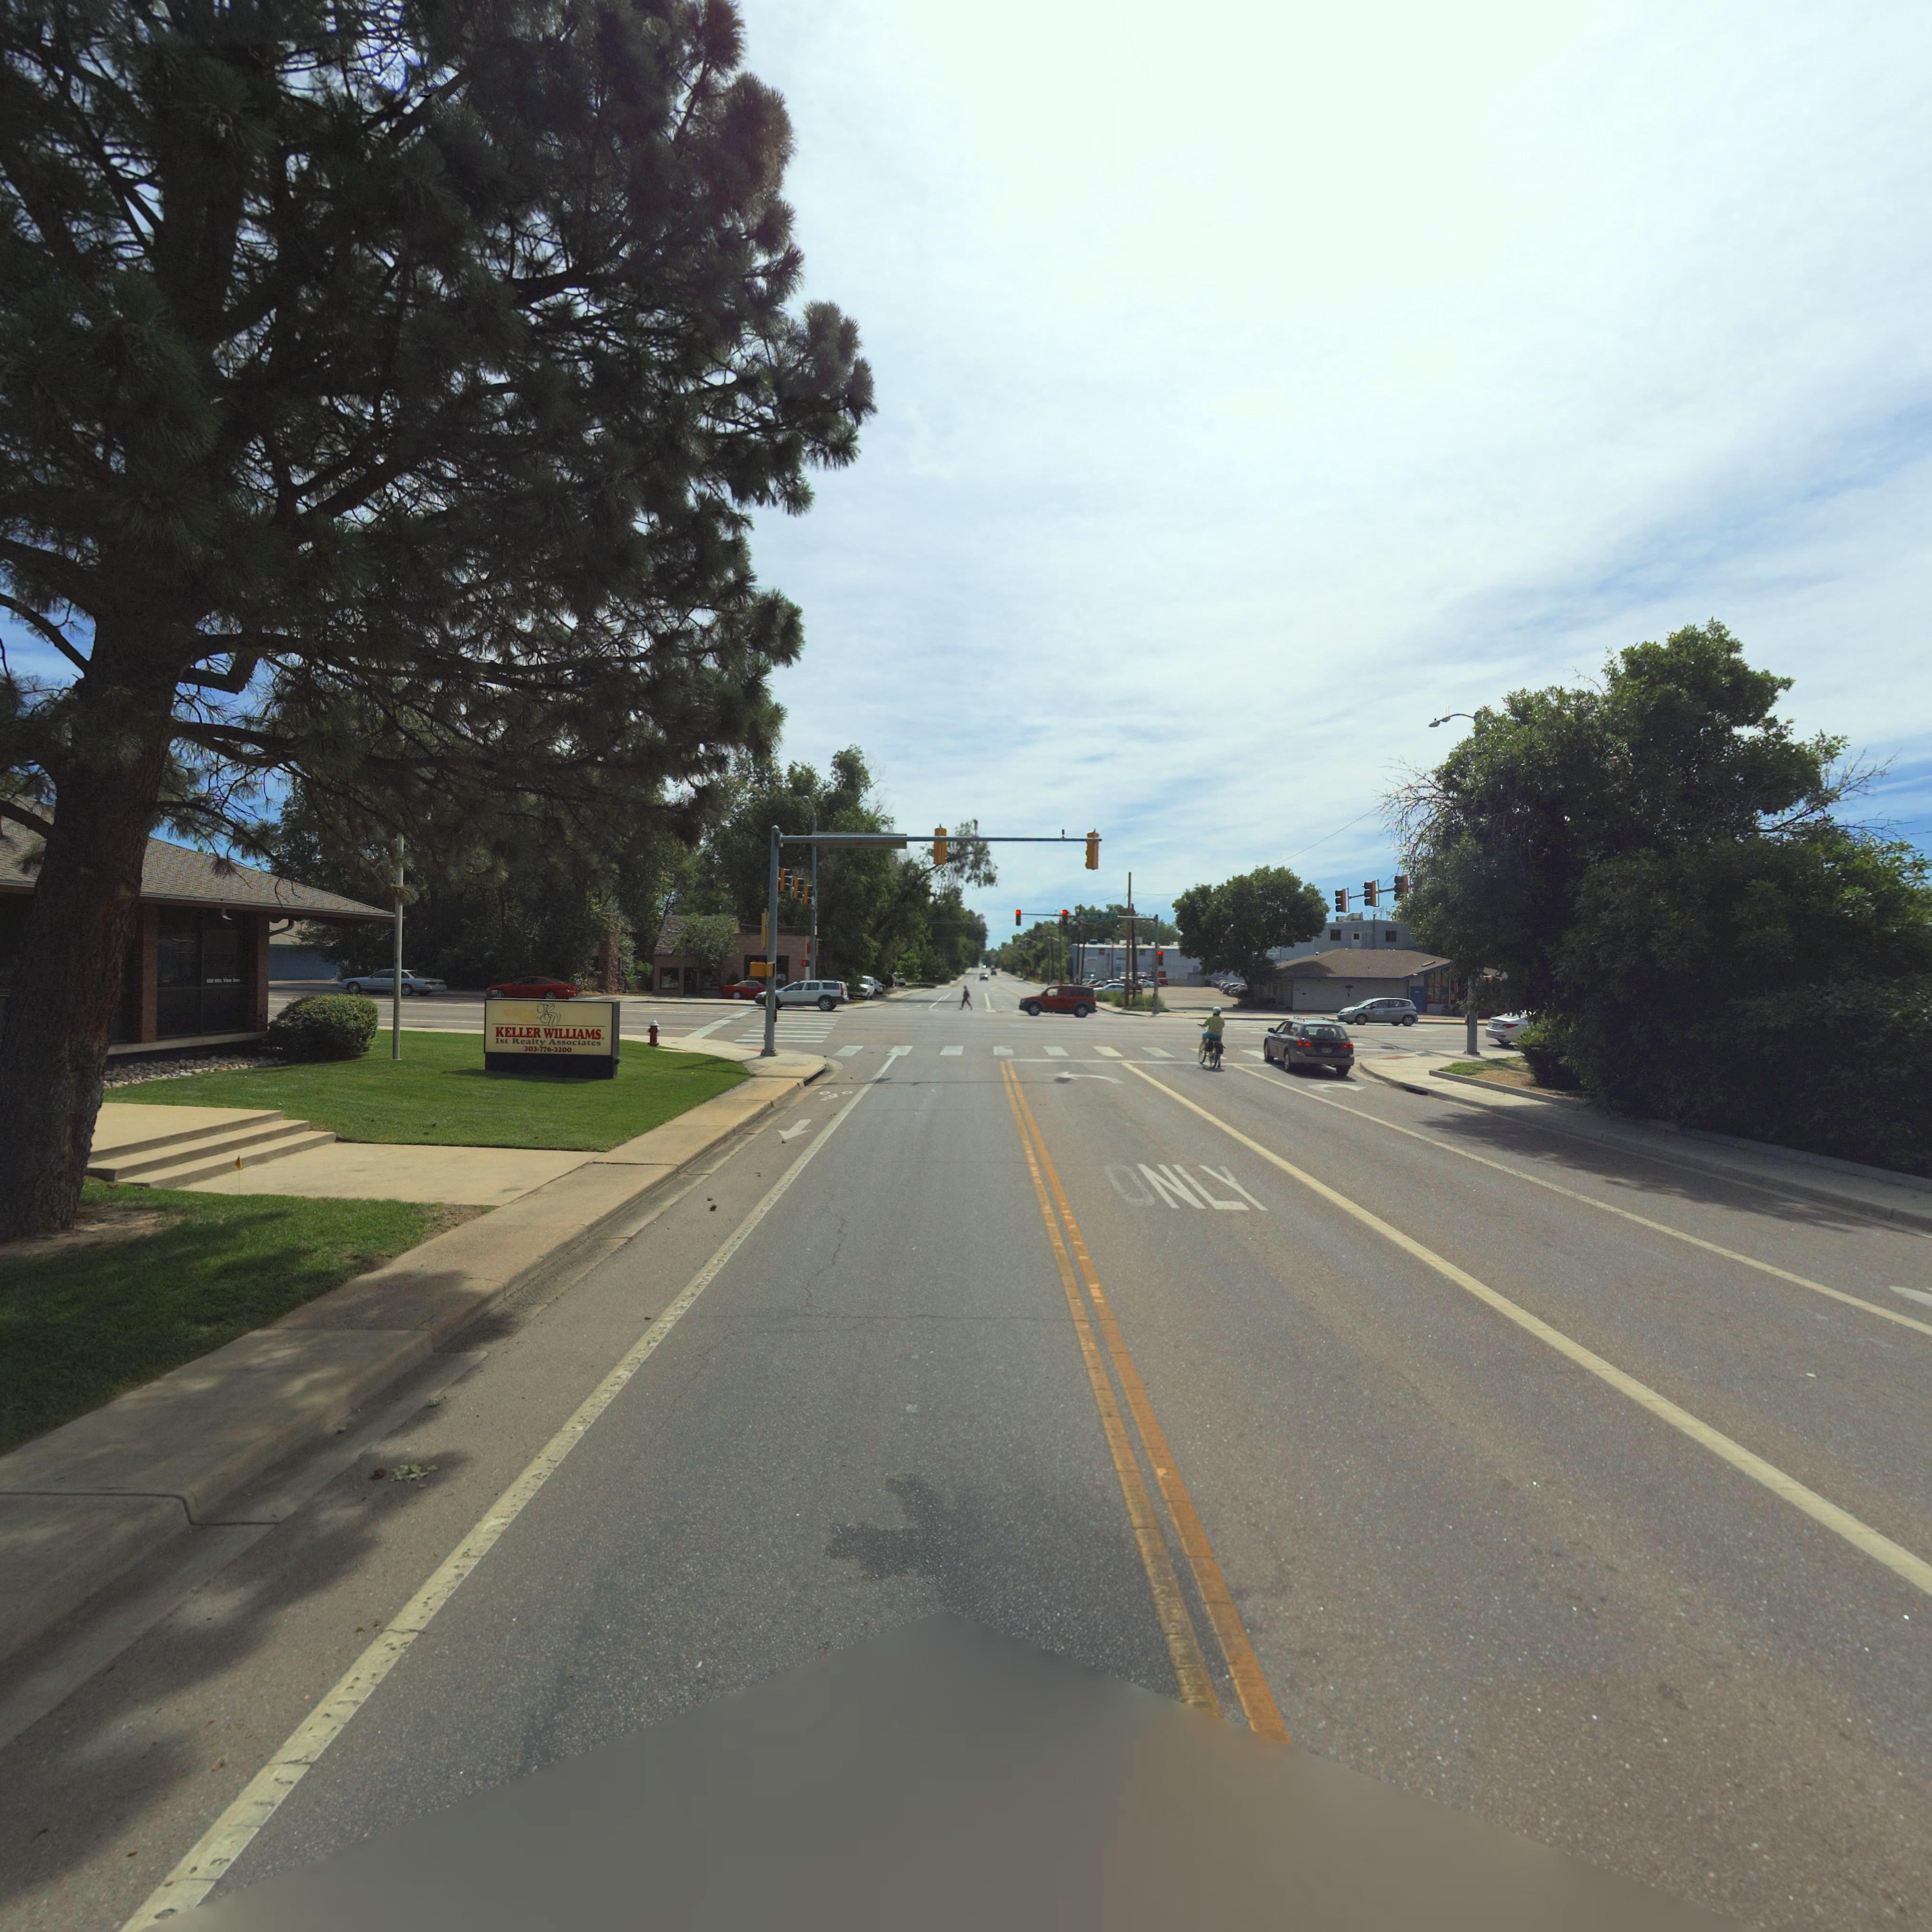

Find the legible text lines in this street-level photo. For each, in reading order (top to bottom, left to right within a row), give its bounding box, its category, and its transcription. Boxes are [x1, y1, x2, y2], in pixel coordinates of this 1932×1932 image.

[1087, 913, 1107, 919] StreetName: **** S*
[495, 1026, 601, 1040] BusinessName: KELLER WILLIAMS
[495, 1037, 601, 1046] BusinessName: 1st Realty Associates